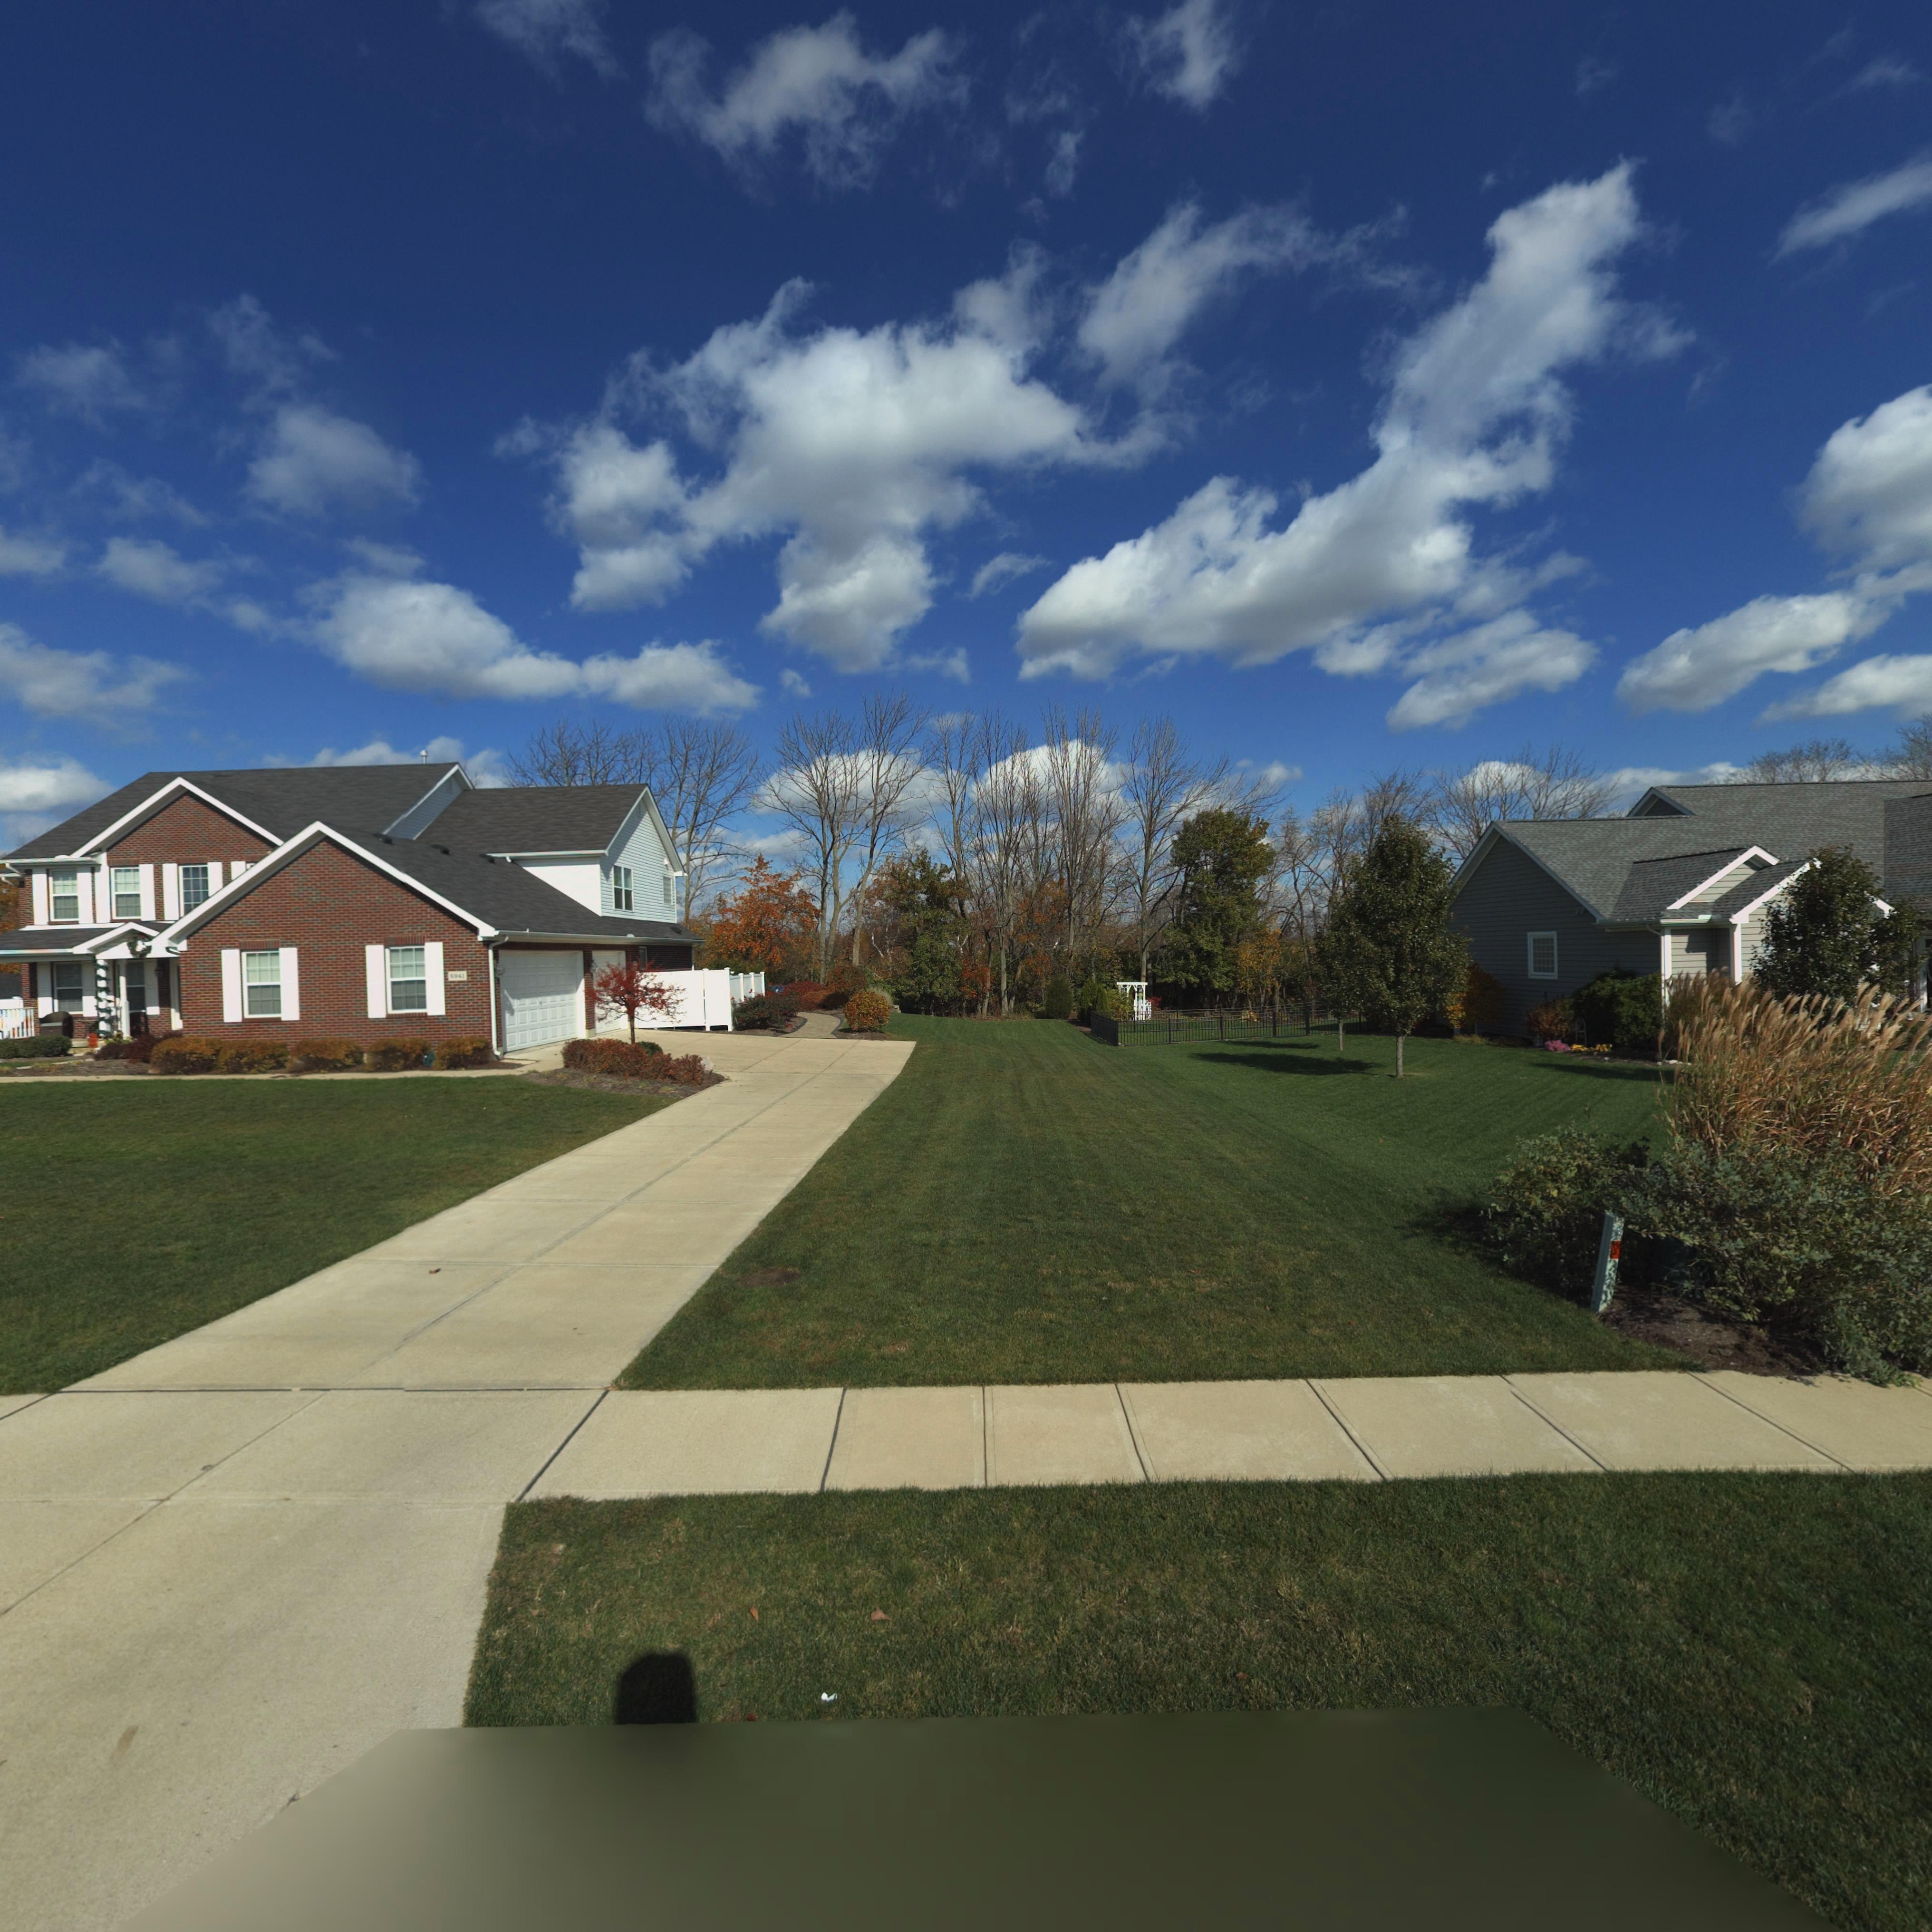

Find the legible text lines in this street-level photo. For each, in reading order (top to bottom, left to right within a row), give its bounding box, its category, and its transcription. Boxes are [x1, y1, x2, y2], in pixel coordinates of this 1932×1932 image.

[450, 973, 465, 979] StreetNumber: 6941